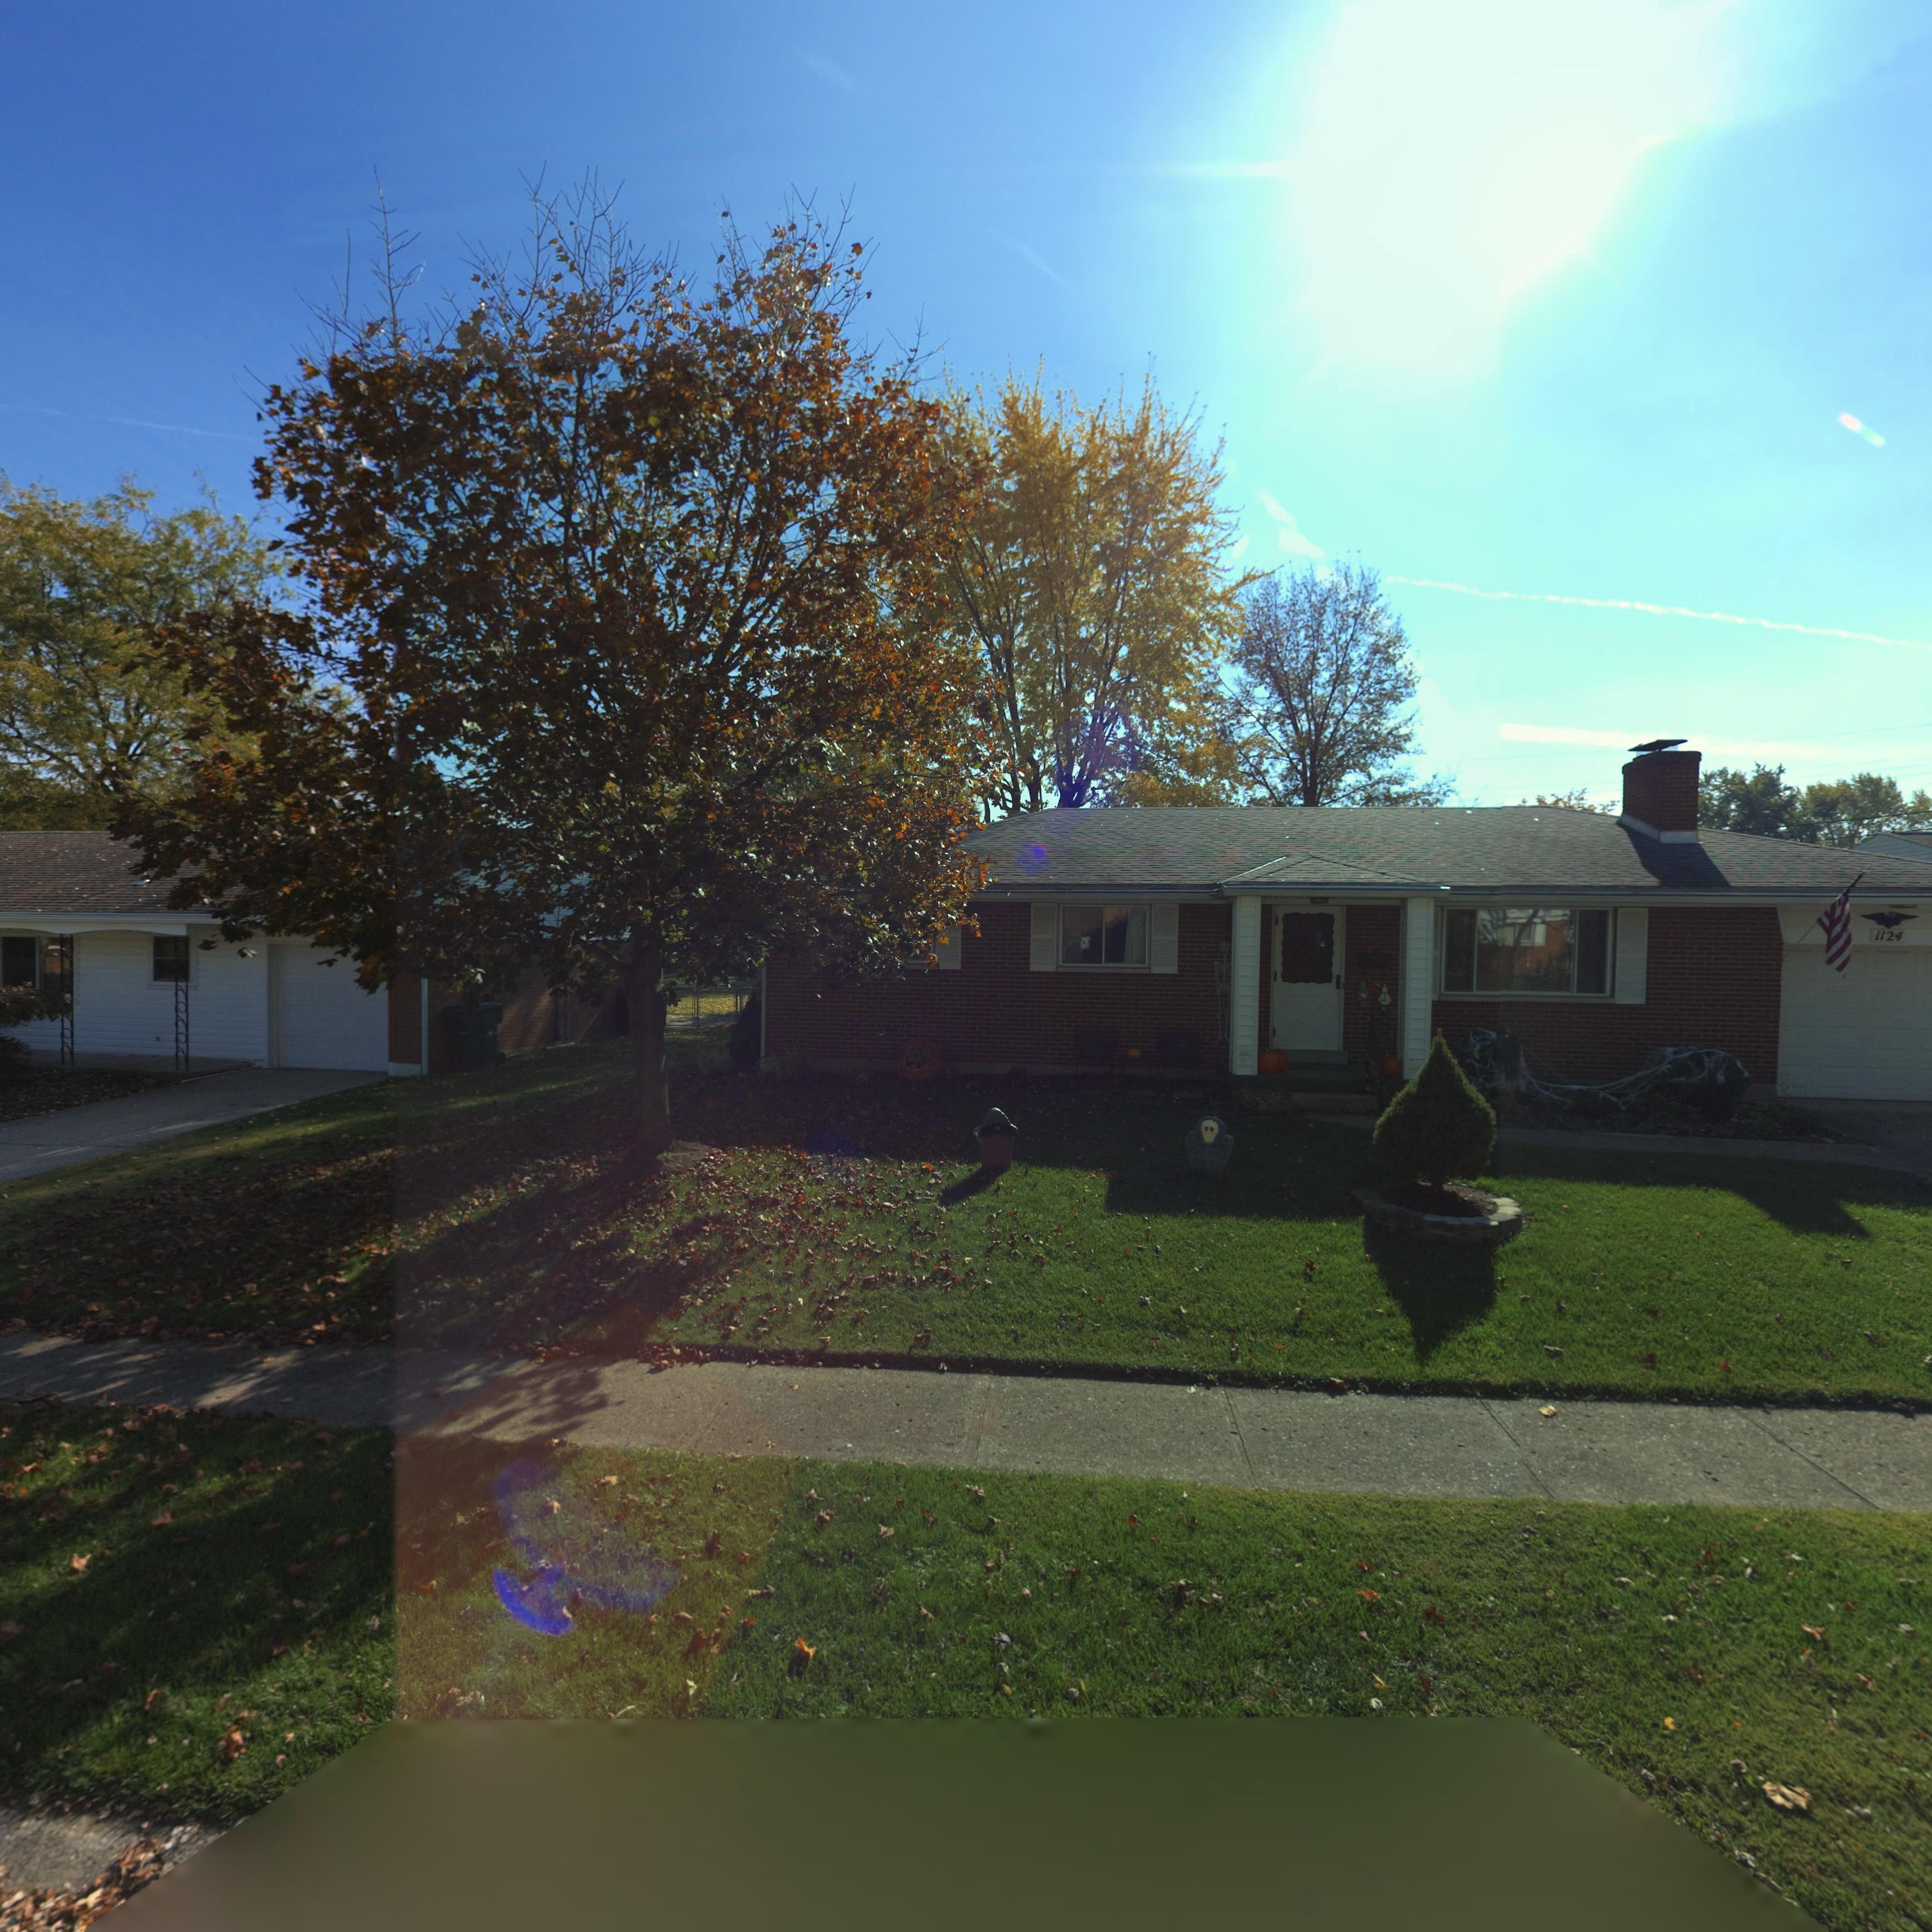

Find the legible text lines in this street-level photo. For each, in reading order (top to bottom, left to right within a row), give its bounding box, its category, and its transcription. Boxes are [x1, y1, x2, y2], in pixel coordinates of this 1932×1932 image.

[1873, 929, 1905, 942] StreetNumber: 1124